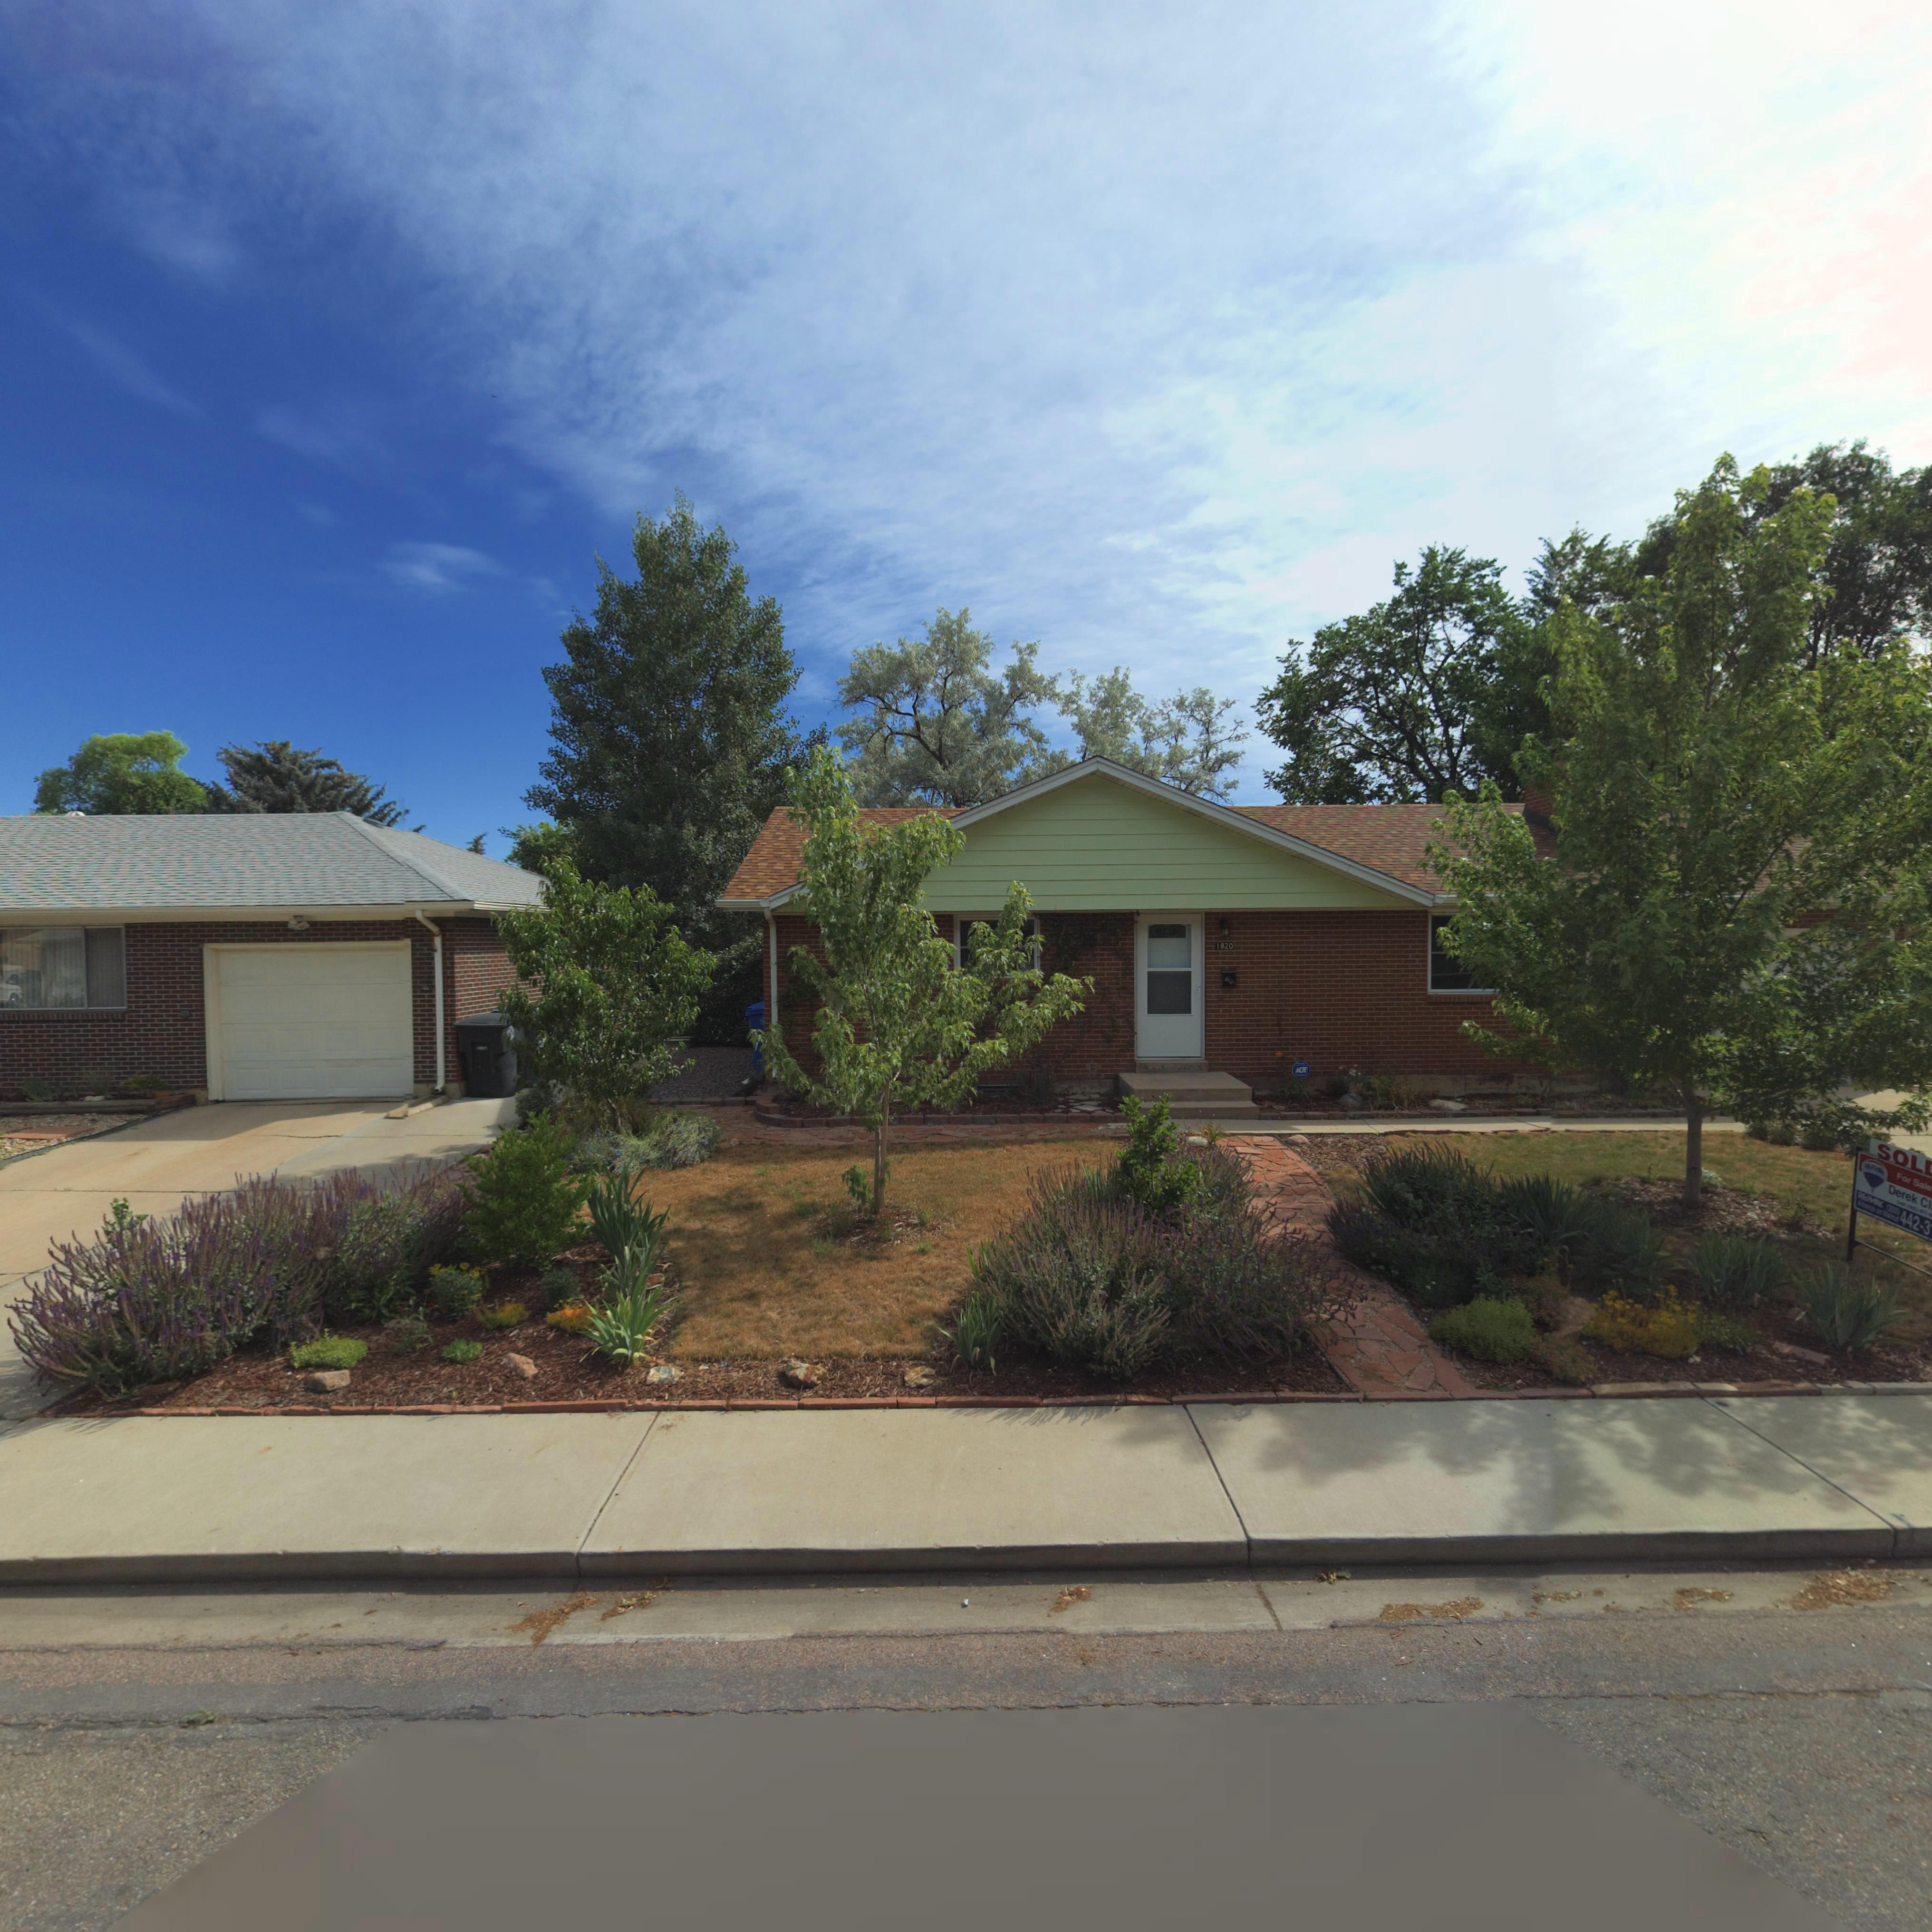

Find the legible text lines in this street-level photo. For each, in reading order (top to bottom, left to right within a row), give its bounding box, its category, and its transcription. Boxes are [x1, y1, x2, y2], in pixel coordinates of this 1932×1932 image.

[1216, 942, 1233, 949] StreetNumber: 1820